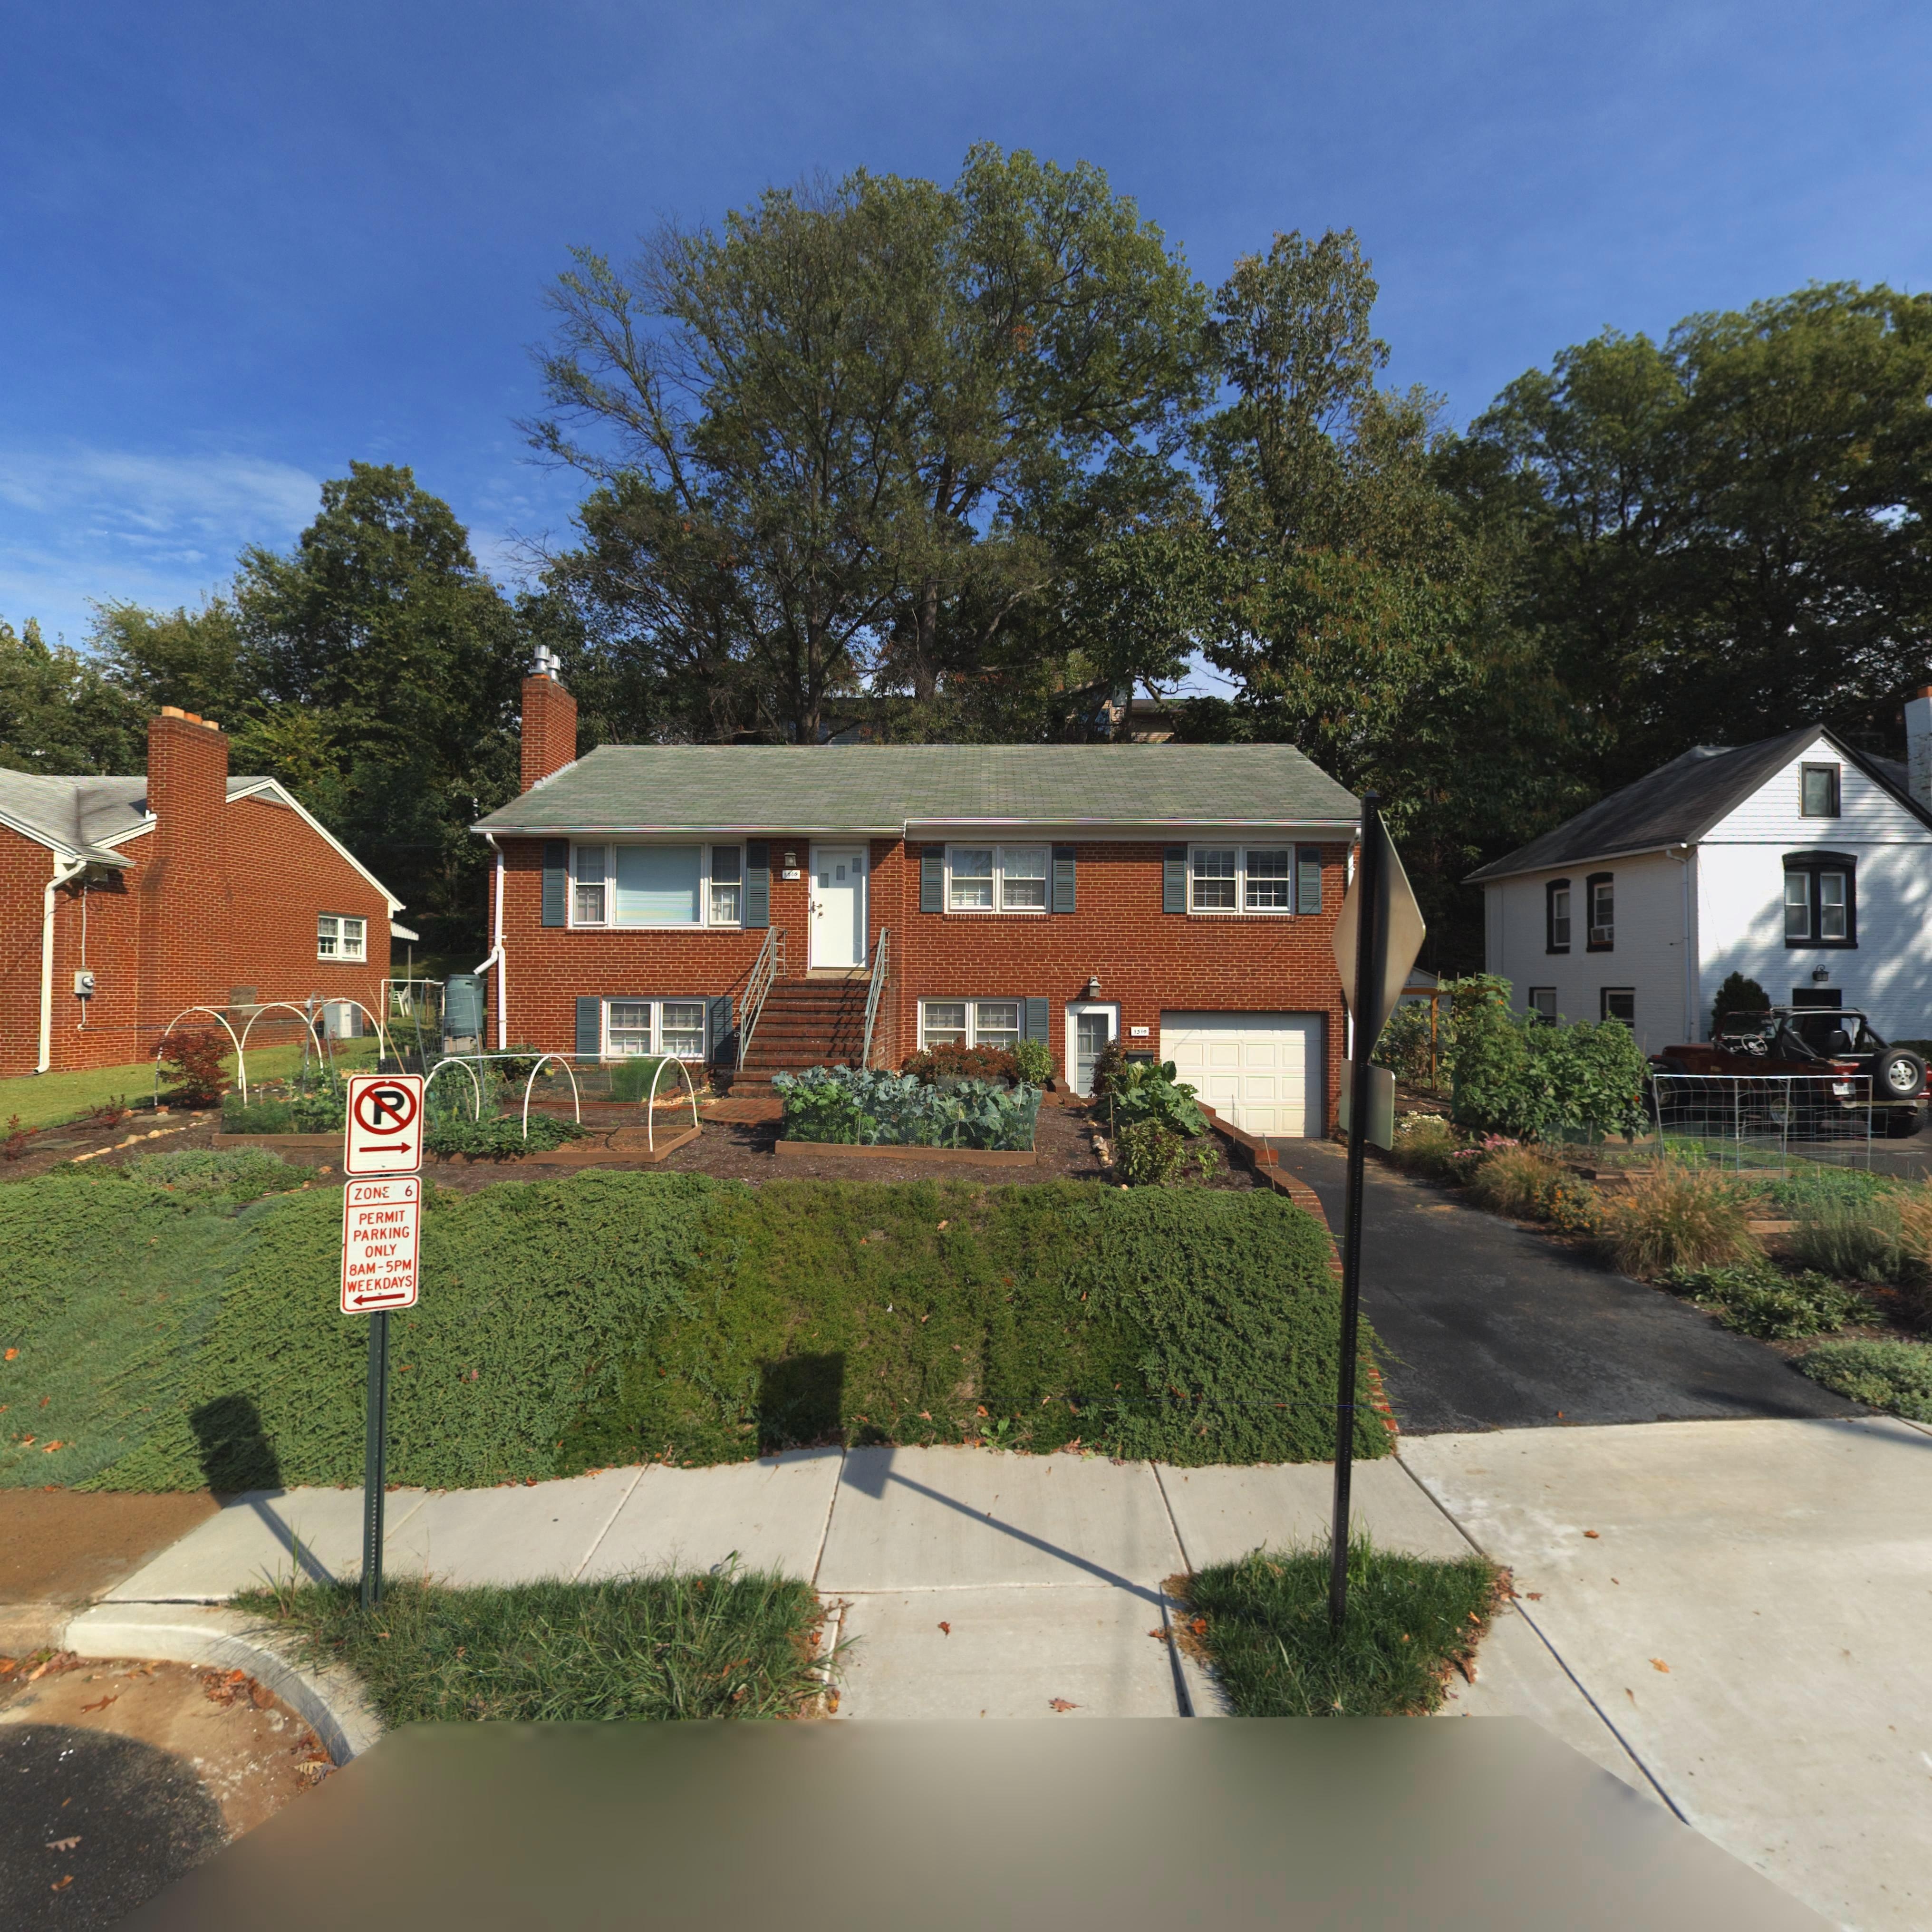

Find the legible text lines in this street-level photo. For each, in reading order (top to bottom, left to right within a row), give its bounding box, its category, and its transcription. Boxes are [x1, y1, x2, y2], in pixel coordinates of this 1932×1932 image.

[1134, 1029, 1146, 1034] StreetNumber: 1319
[354, 1185, 413, 1200] None: ZON* 6
[358, 1210, 406, 1226] None: PERMIT
[353, 1226, 409, 1243] None: PARKING
[365, 1243, 397, 1258] None: ONLY
[349, 1258, 412, 1277] None: 8AM-5PM
[347, 1275, 412, 1294] None: WEEKDAYS